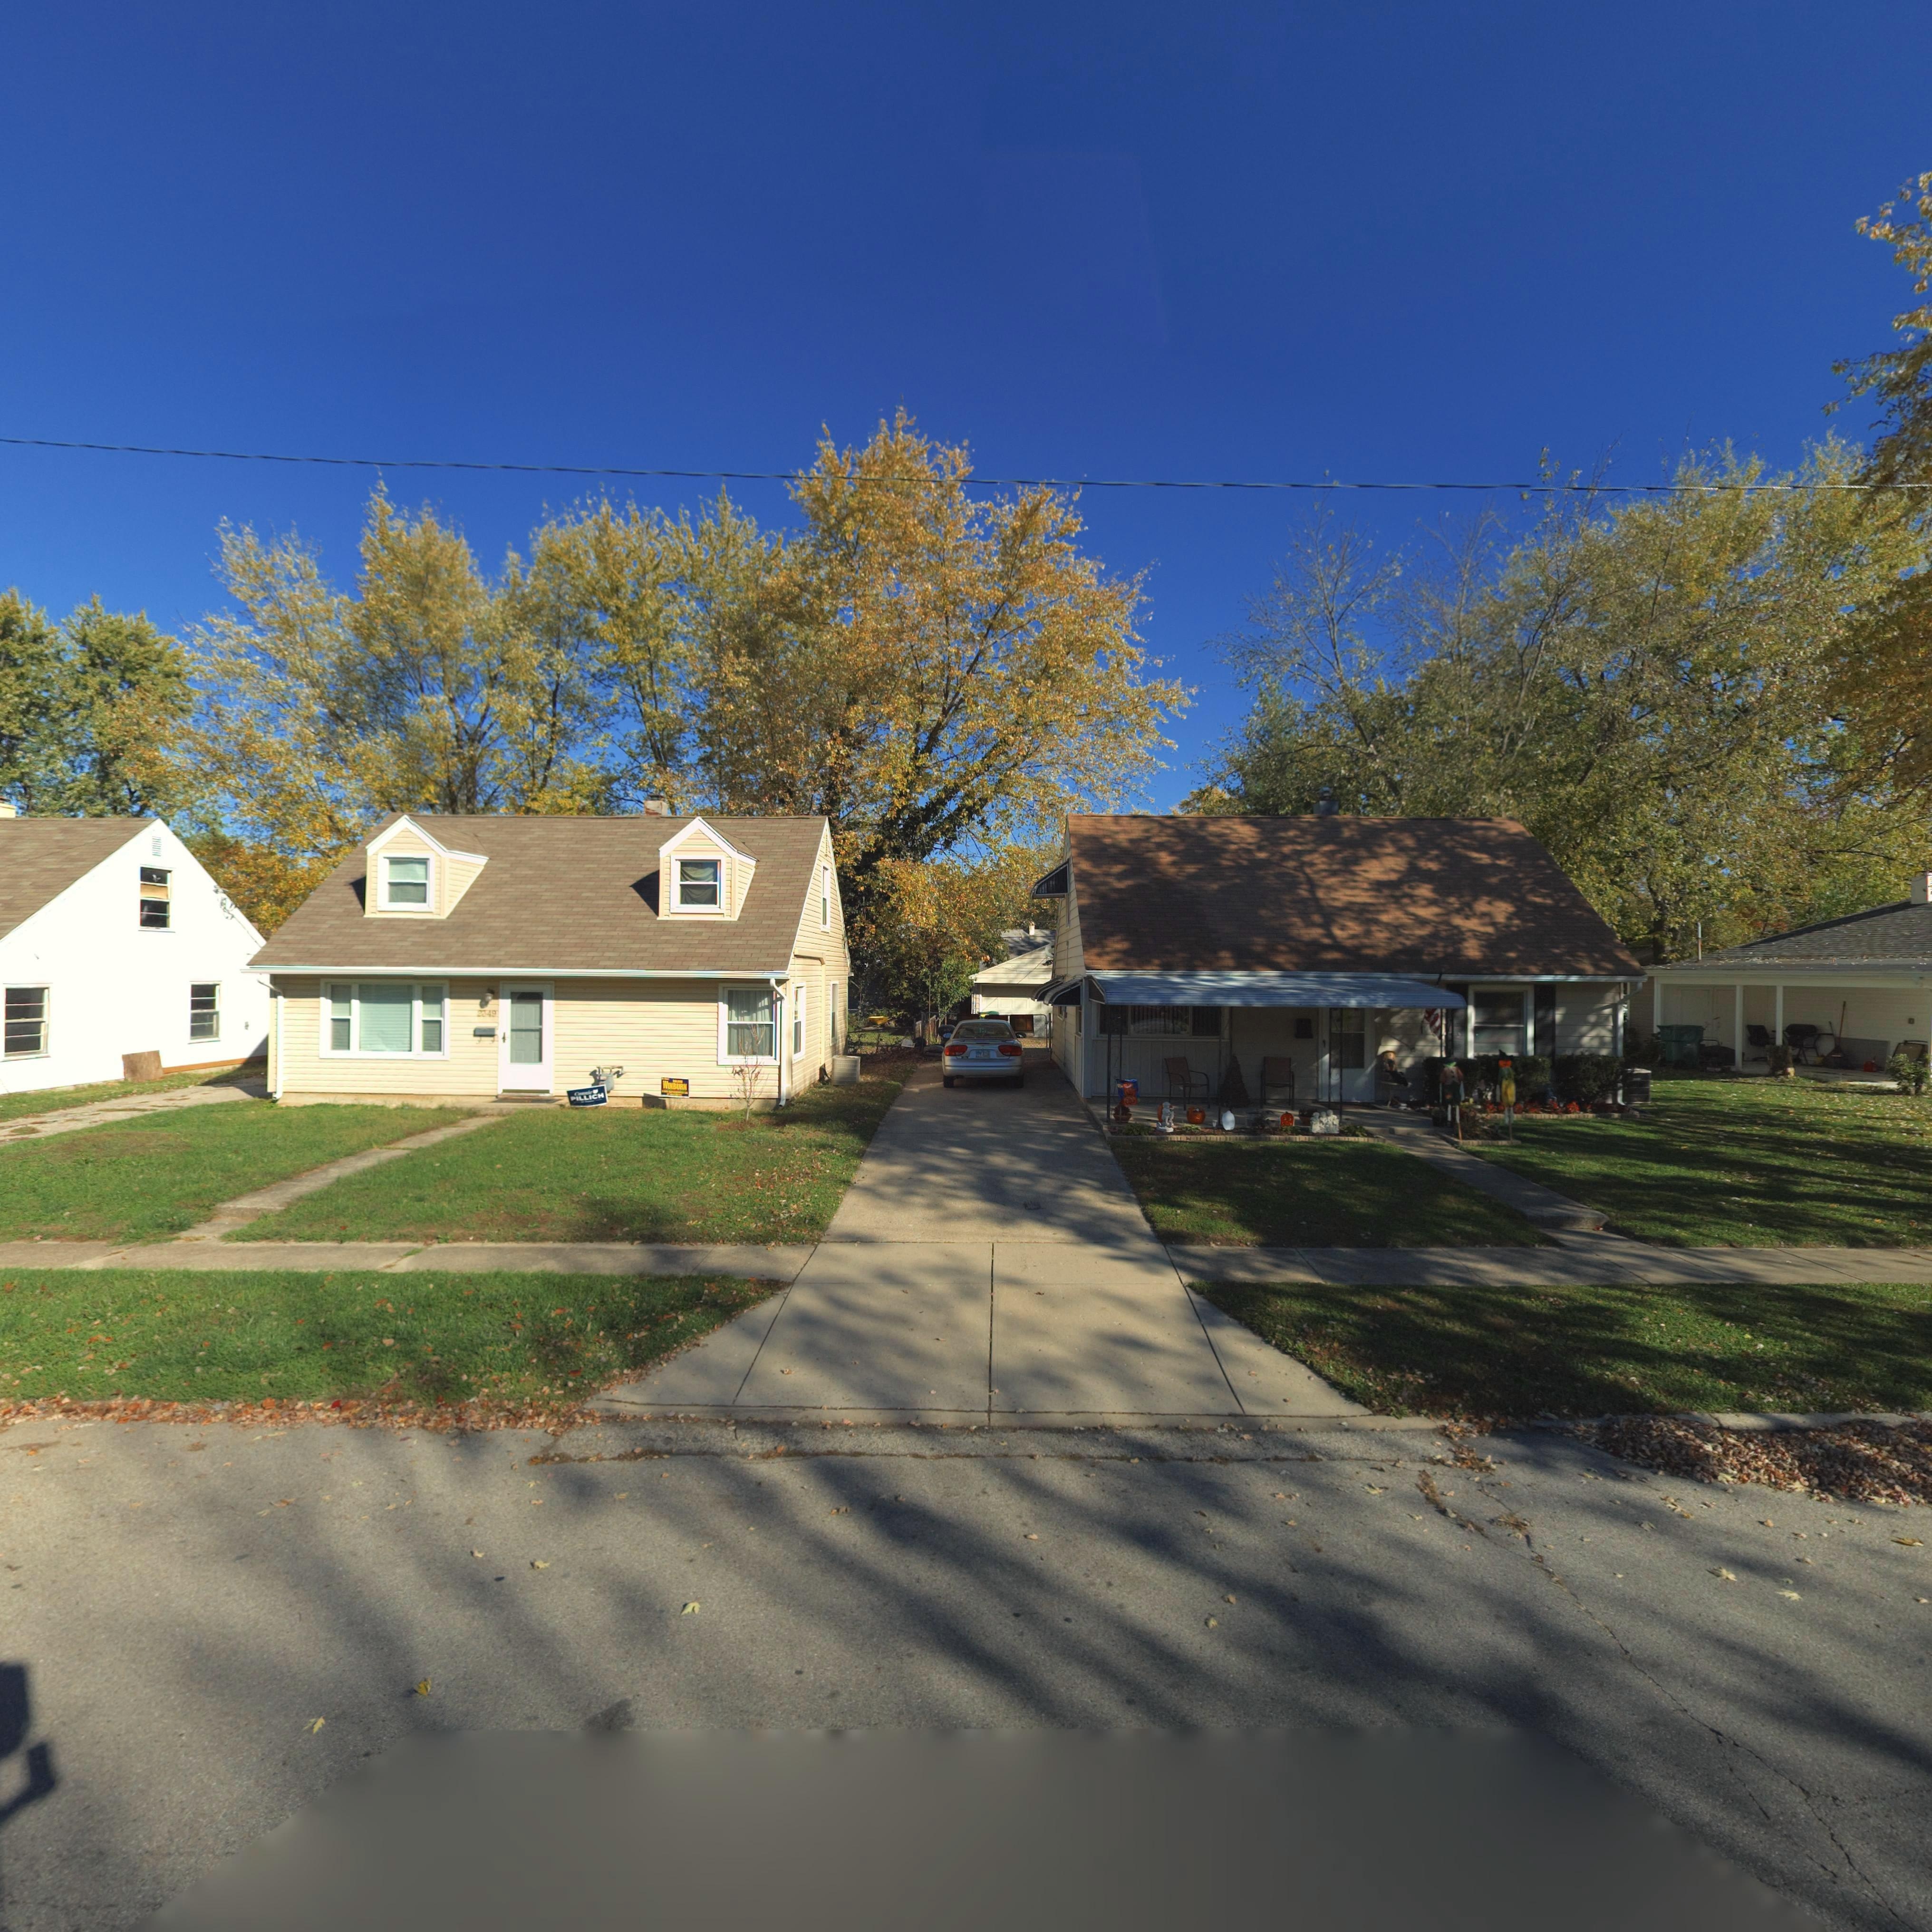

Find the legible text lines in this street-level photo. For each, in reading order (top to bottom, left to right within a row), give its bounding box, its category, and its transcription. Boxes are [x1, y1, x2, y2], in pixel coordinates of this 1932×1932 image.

[476, 1009, 497, 1018] StreetNumber: 2349